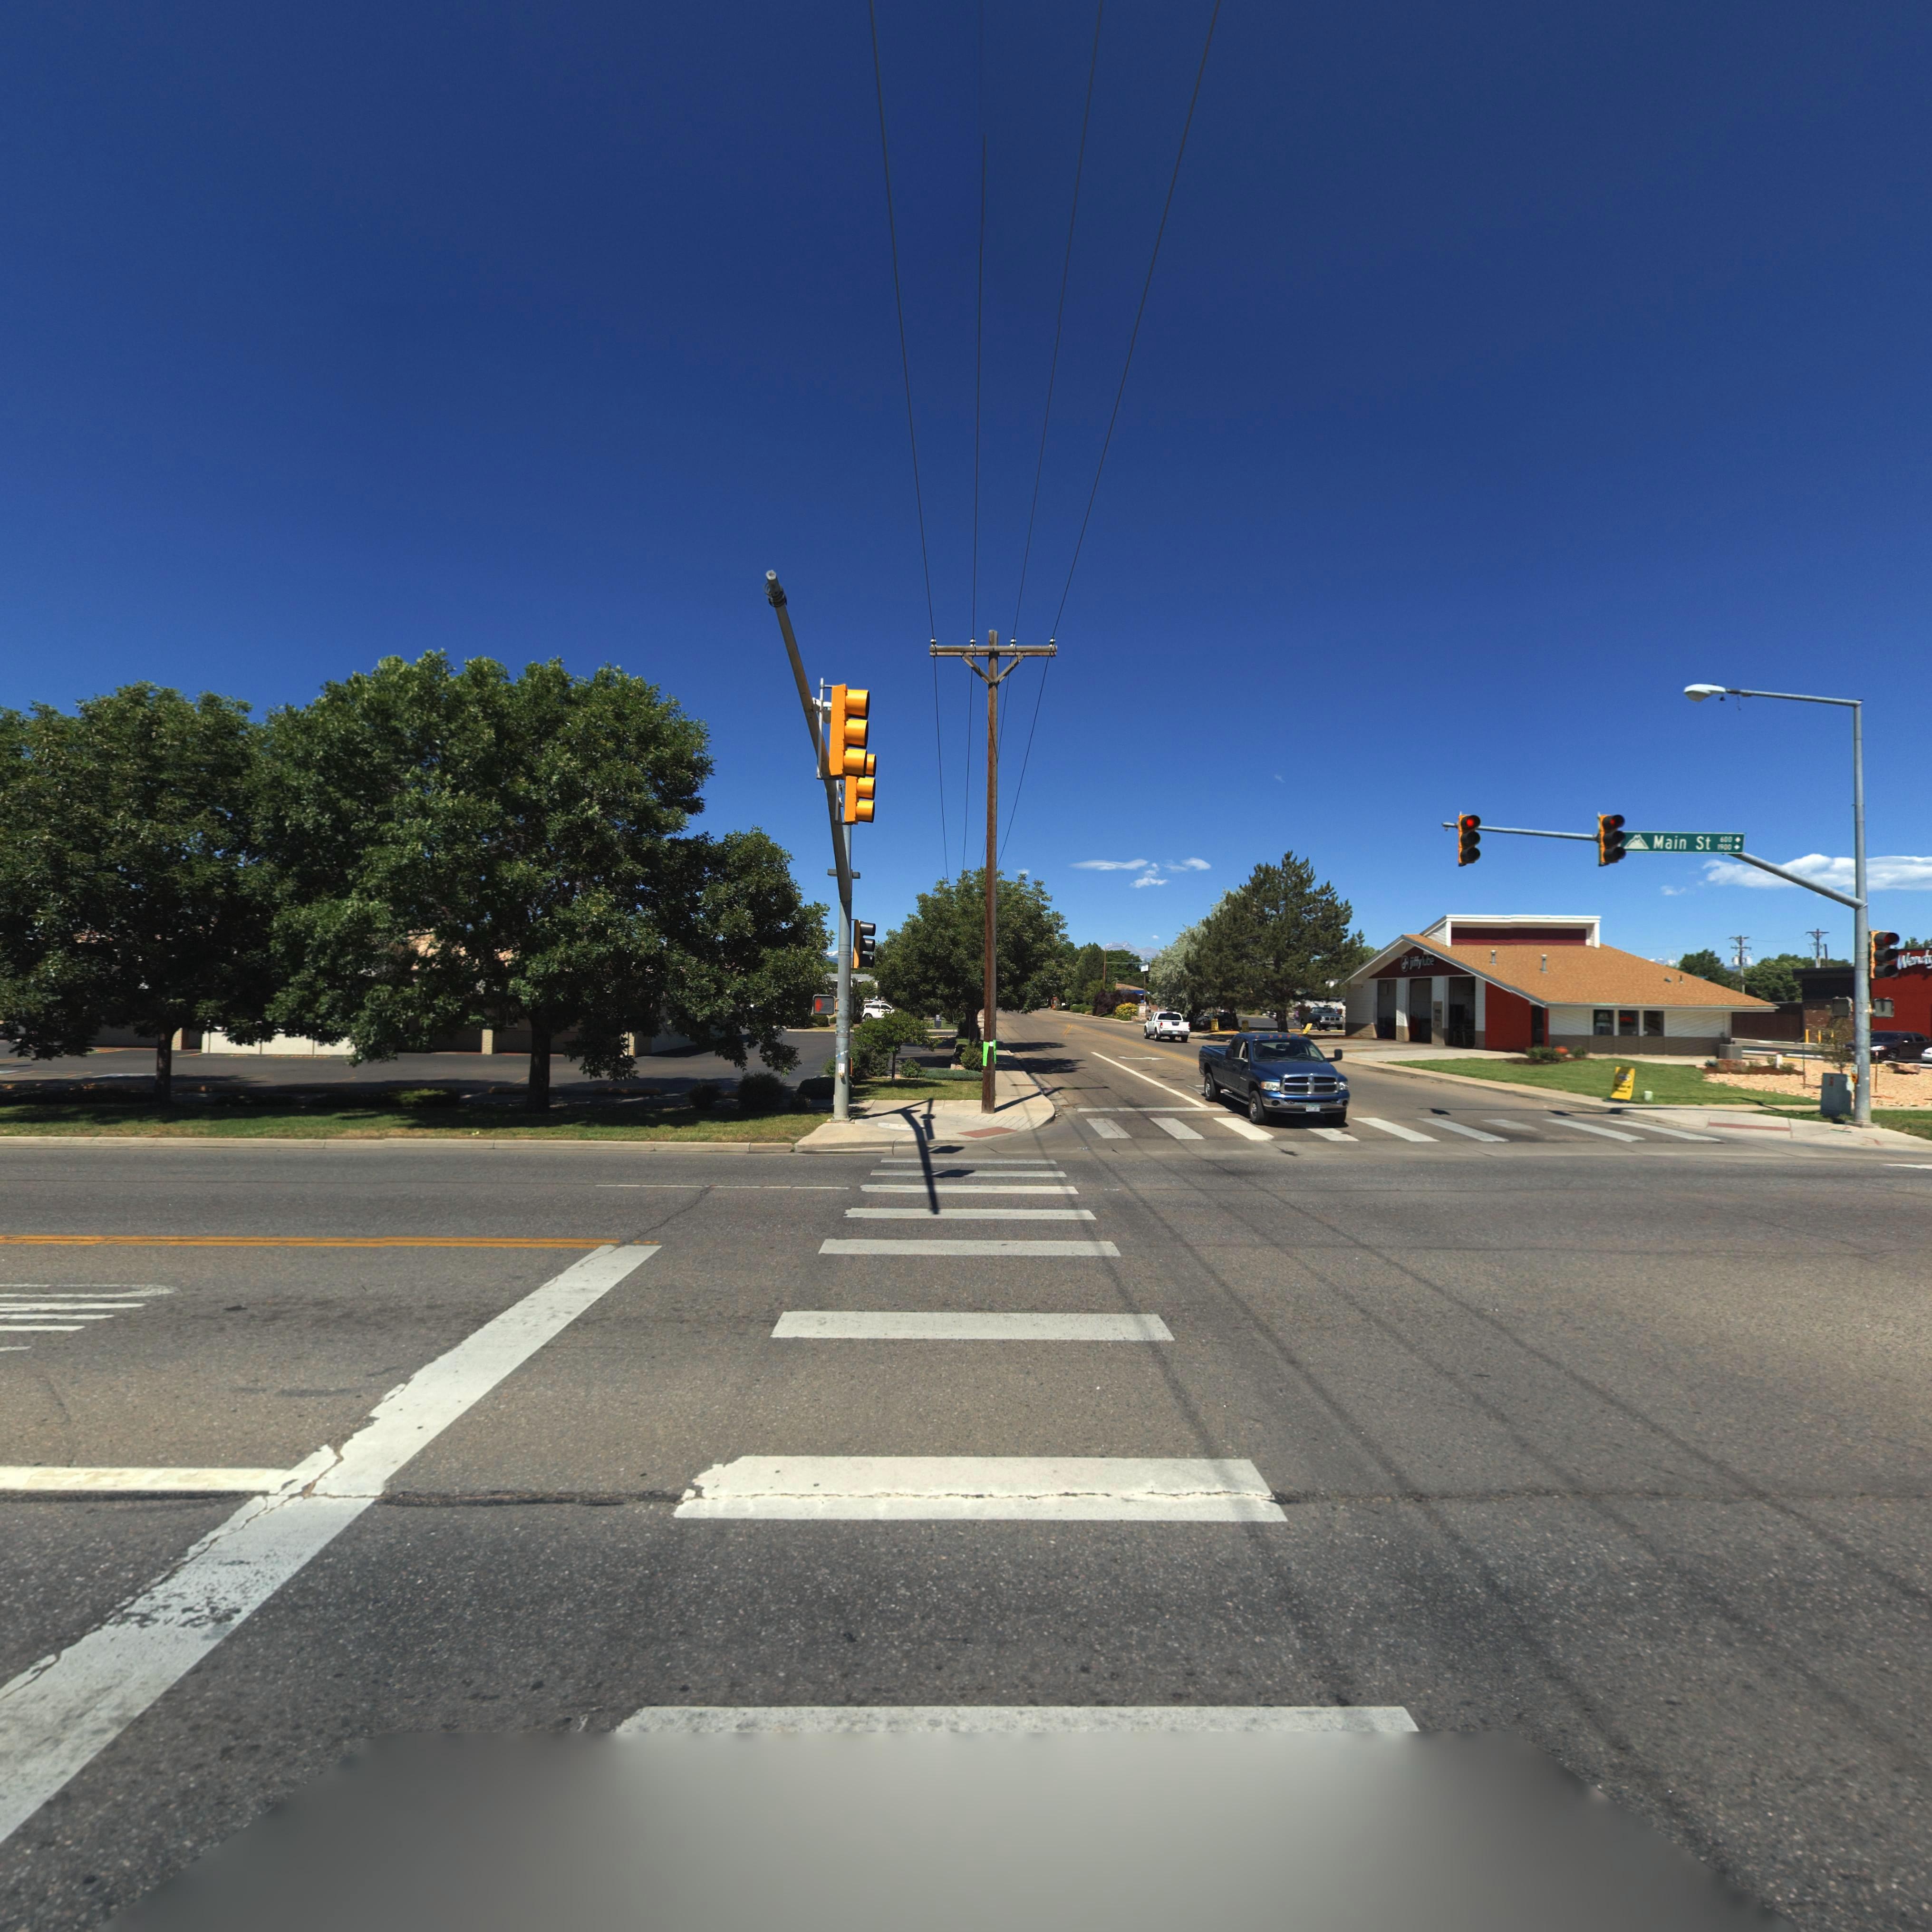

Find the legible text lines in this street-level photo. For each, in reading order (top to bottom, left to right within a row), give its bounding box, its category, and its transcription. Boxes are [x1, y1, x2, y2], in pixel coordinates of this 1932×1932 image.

[1653, 835, 1711, 850] StreetName: Main St
[1719, 835, 1733, 842] StreetNumberRange: 600
[1717, 843, 1741, 850] StreetNumberRange: 1900->
[1409, 954, 1435, 971] BusinessName: jiffylube
[1896, 949, 1930, 970] BusinessName: Wend